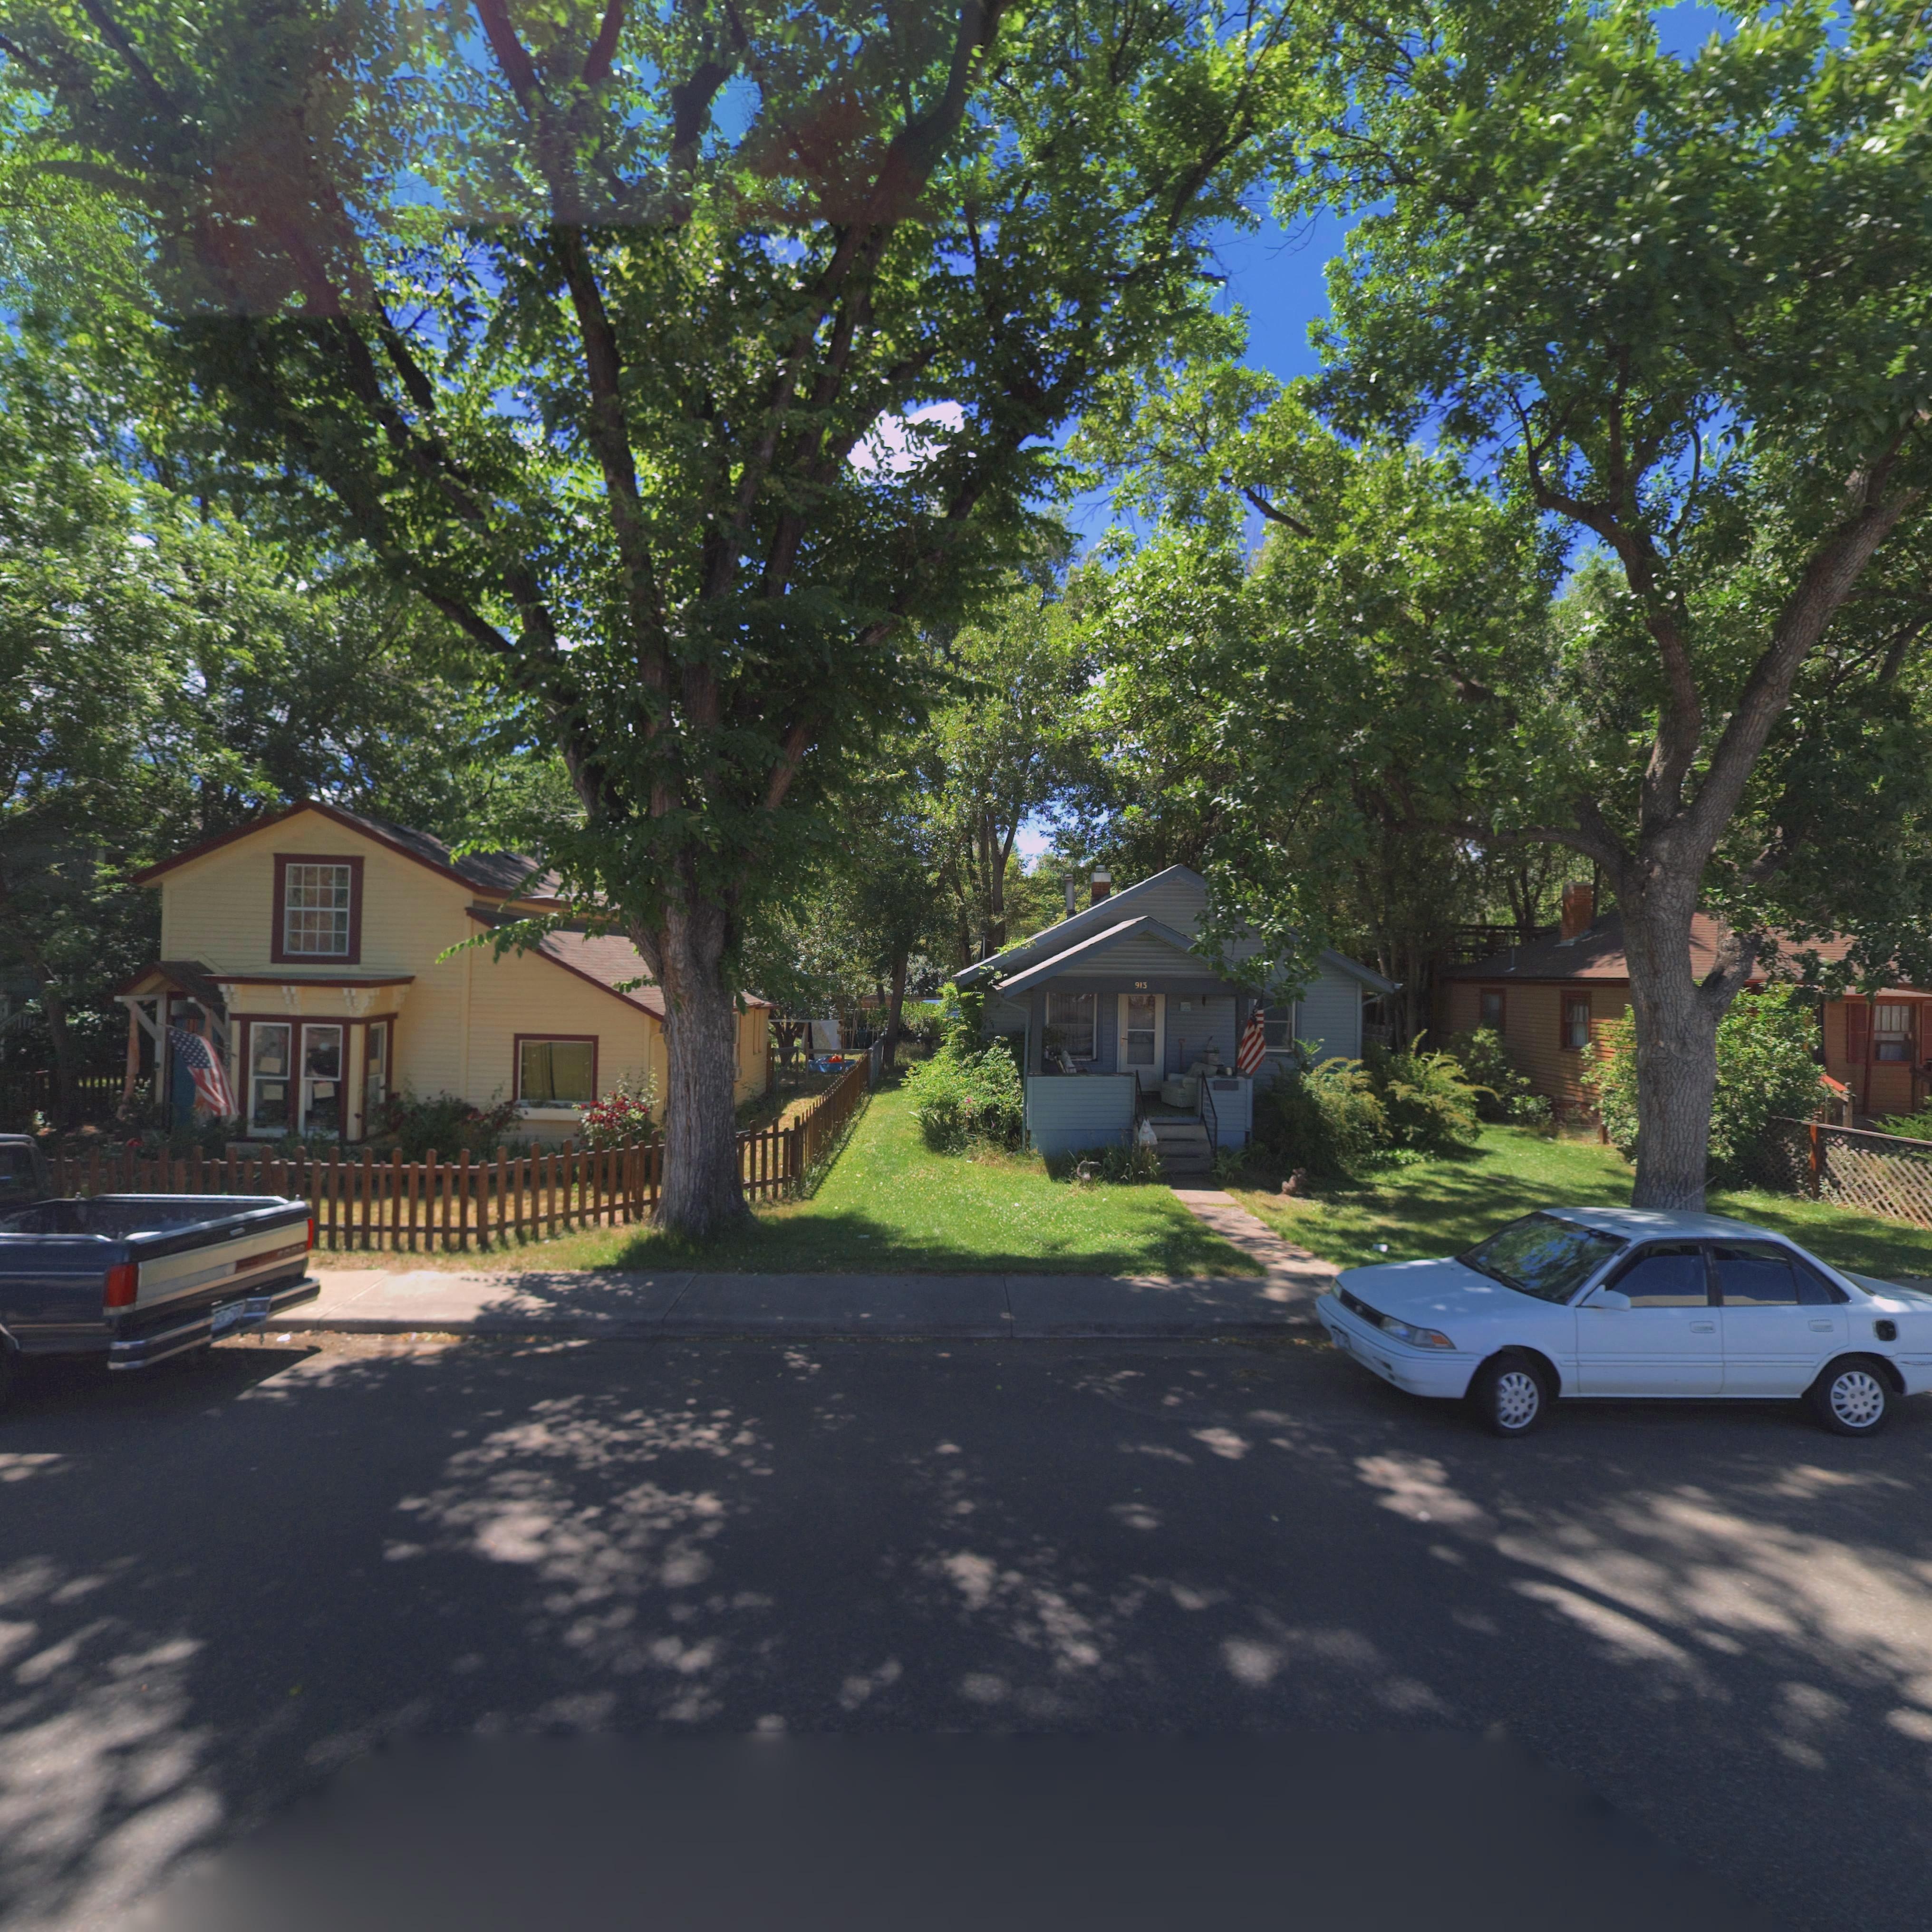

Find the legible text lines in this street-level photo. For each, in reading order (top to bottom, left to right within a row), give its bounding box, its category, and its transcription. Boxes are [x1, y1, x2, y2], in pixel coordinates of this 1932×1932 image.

[1134, 981, 1147, 989] StreetNumber: 913